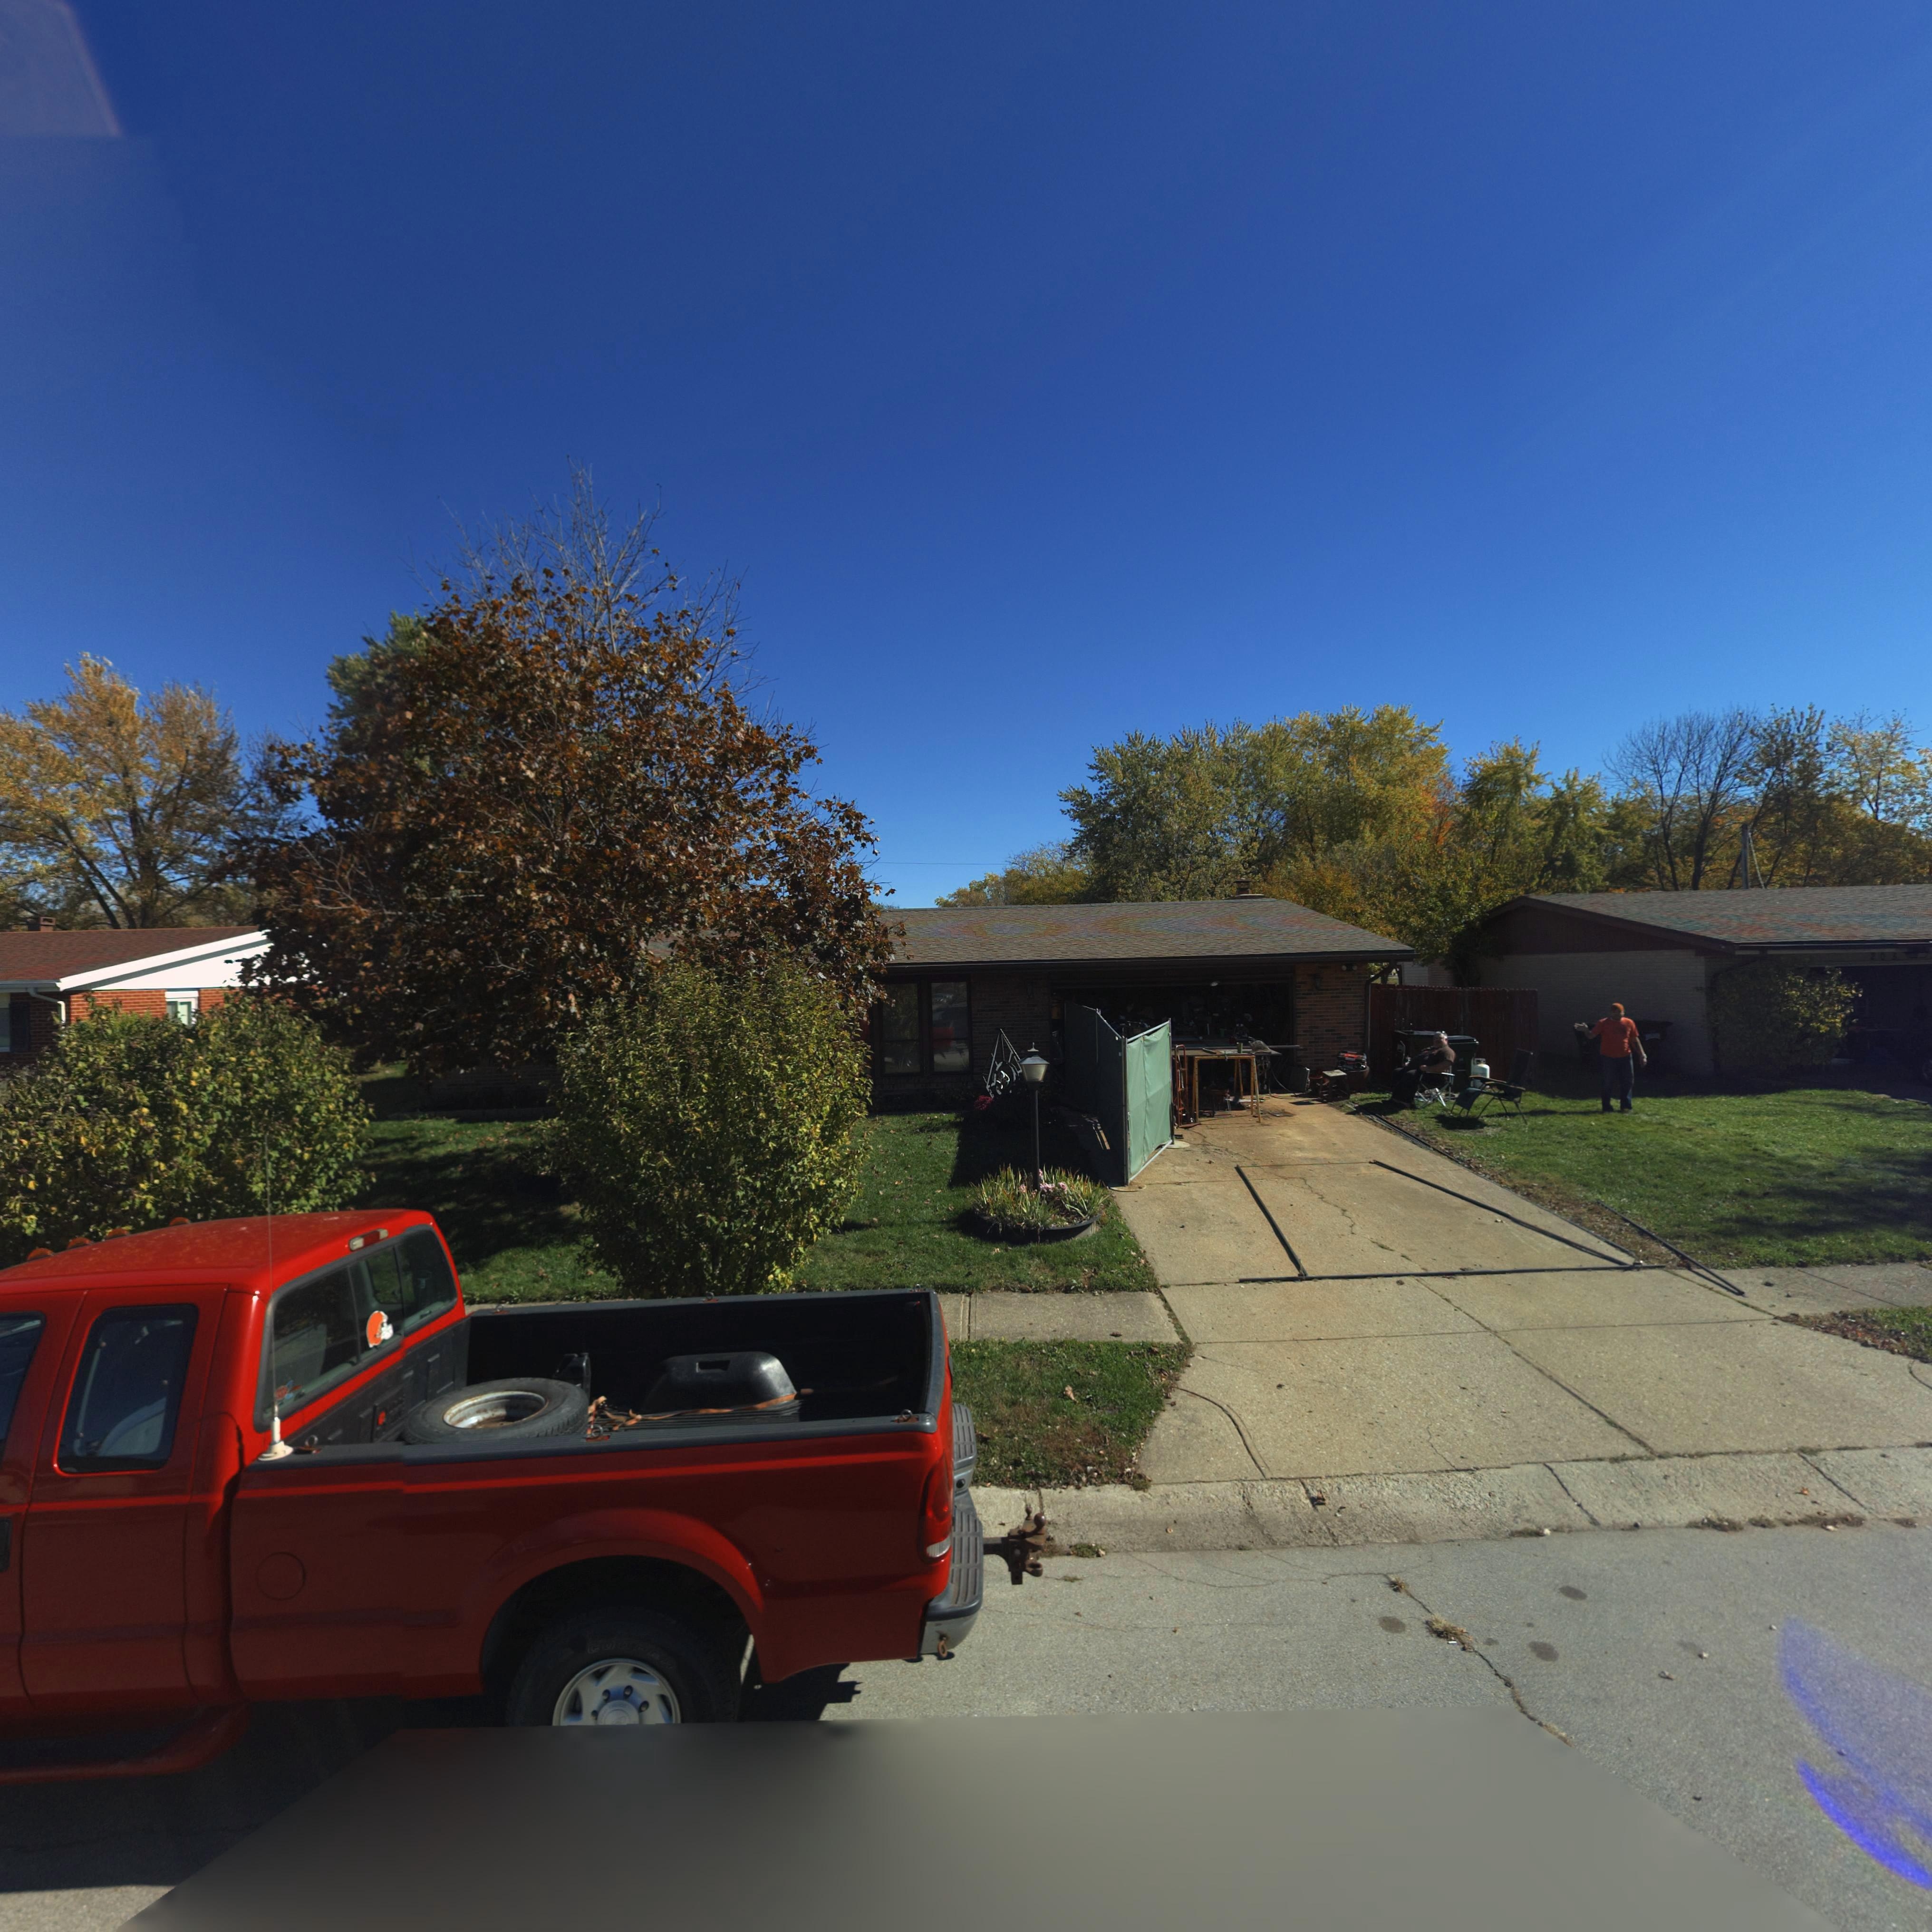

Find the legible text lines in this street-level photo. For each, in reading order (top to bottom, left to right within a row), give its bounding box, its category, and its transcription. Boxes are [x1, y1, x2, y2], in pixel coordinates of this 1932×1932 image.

[1869, 952, 1897, 960] StreetNumber: 208
[1163, 969, 1177, 976] StreetNumber: 206